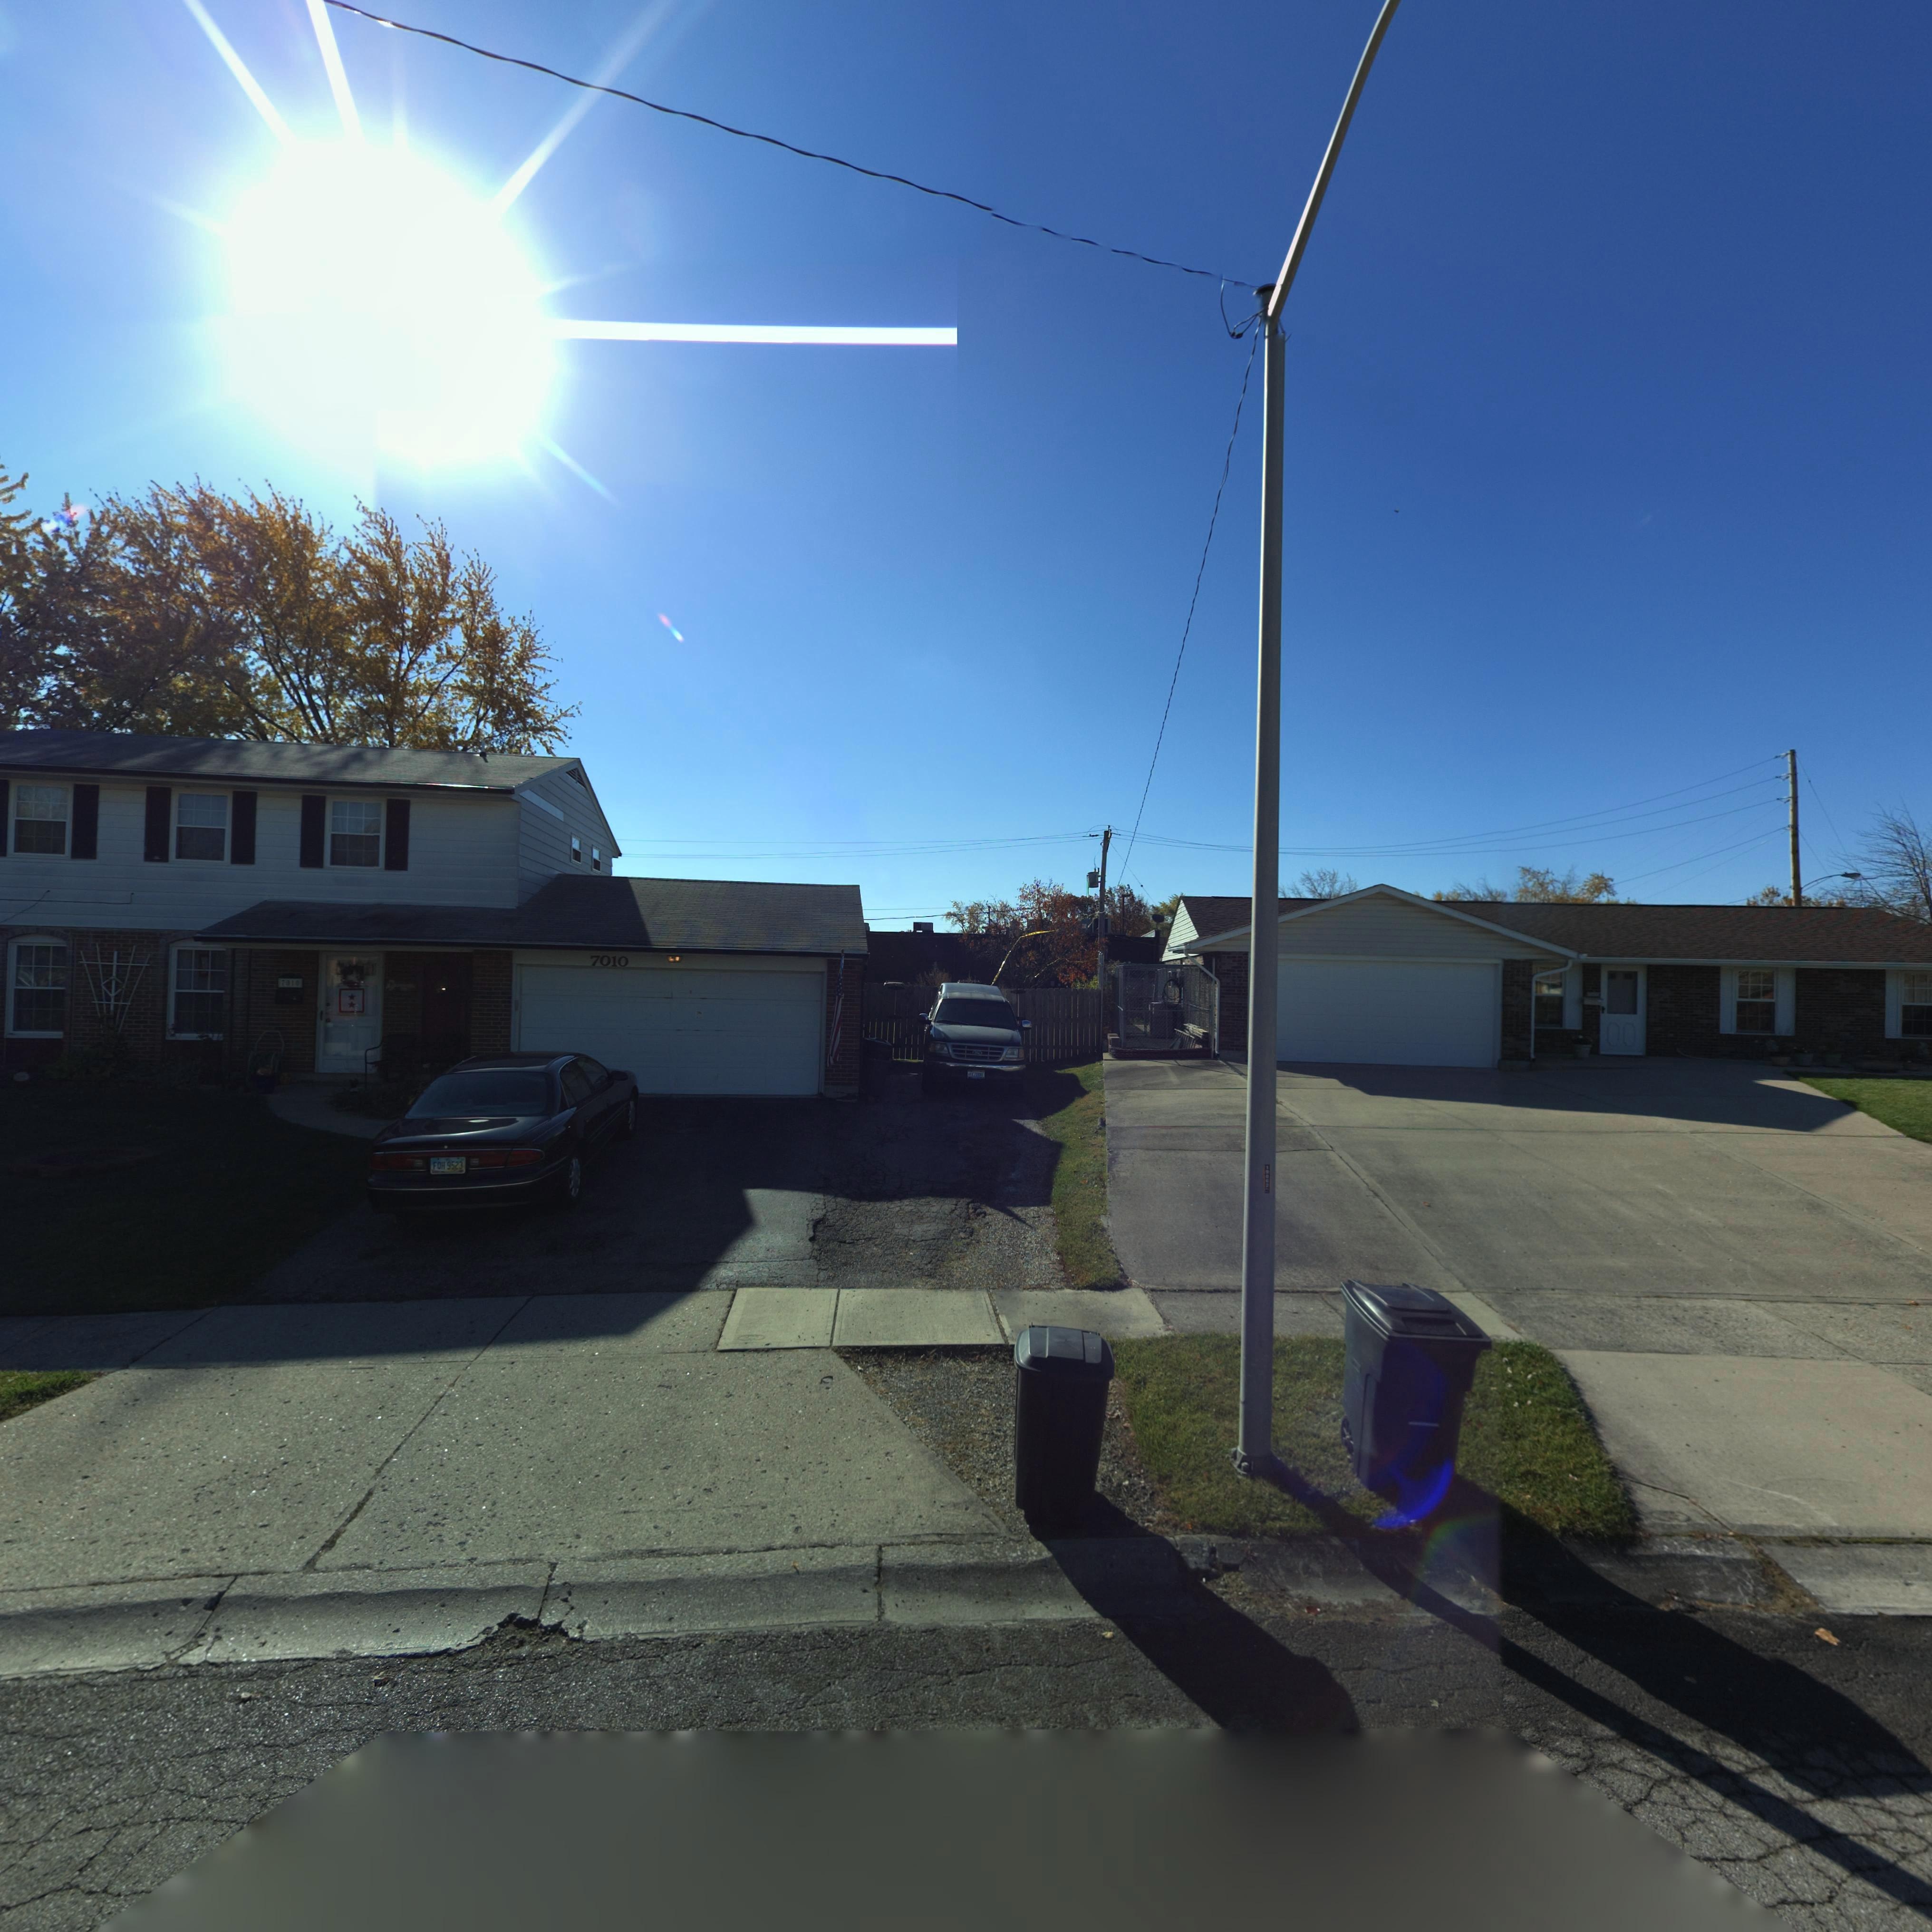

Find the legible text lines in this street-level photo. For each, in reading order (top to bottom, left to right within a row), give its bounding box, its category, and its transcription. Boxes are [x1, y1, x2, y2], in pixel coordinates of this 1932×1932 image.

[589, 954, 629, 967] StreetNumber: 7010
[280, 979, 300, 987] StreetNumber: 7010